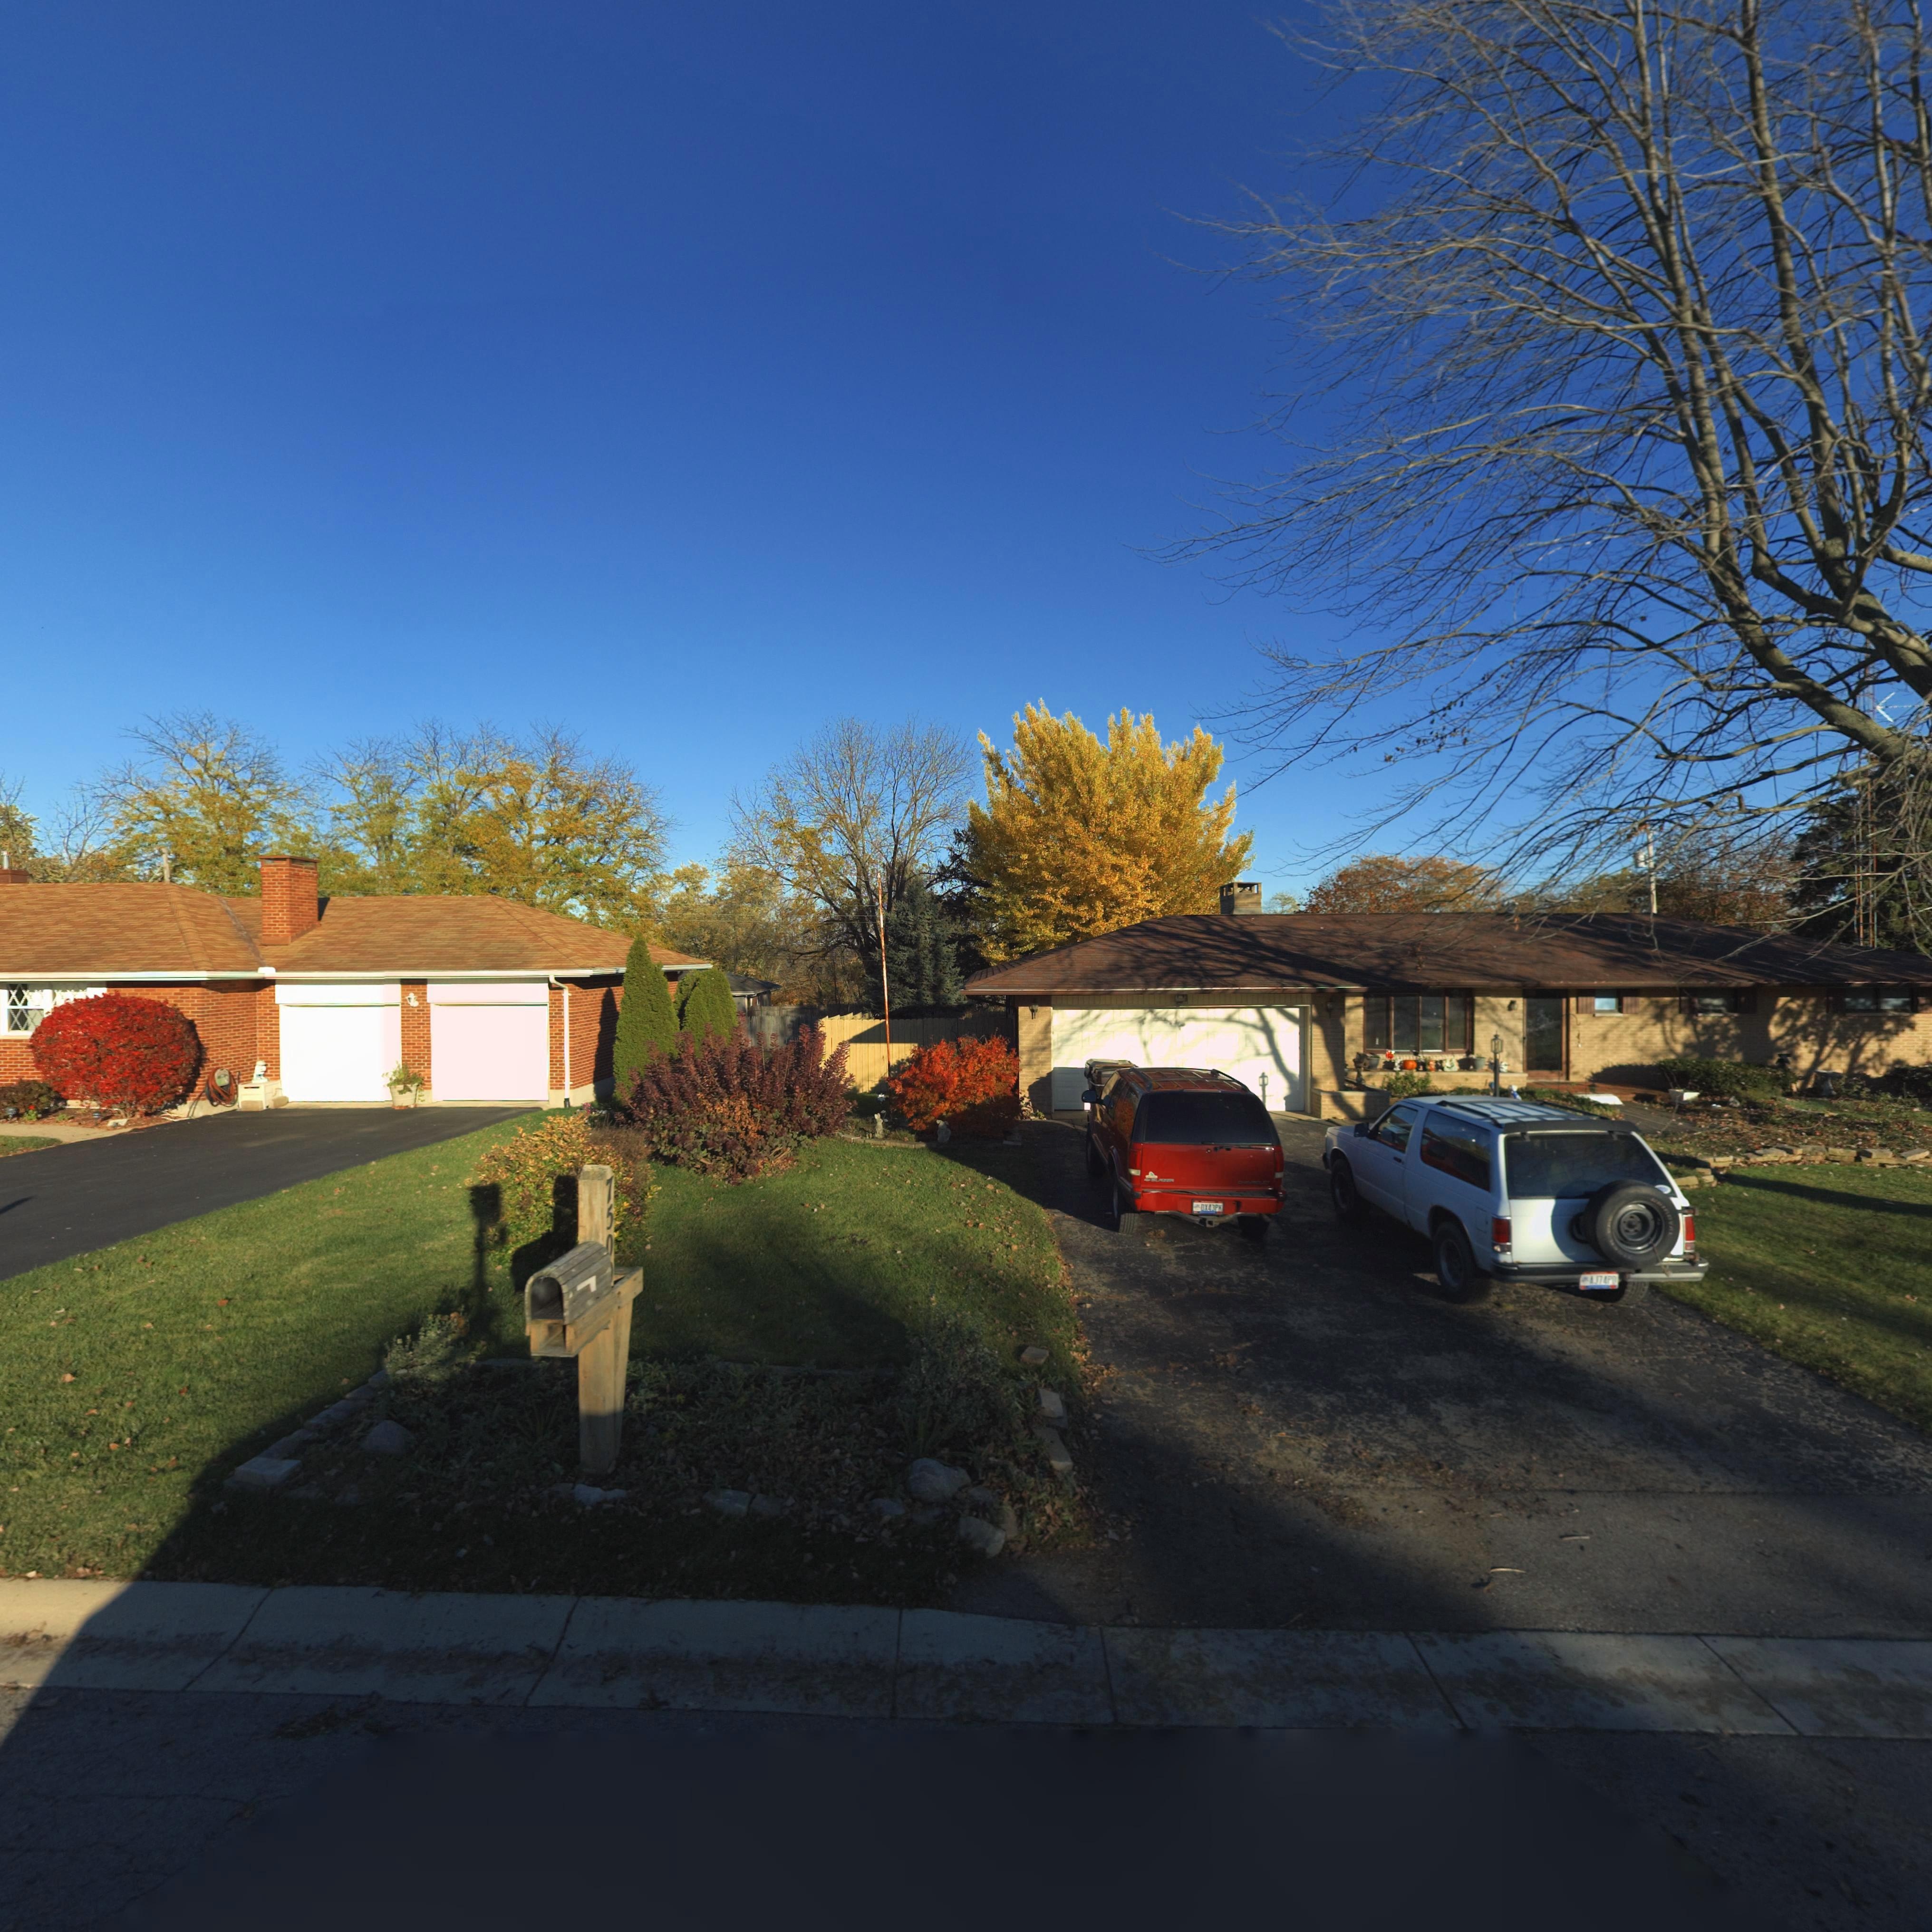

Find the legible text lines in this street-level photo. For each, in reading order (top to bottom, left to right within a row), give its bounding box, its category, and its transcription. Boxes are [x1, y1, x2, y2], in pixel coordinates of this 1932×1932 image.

[604, 1173, 616, 1257] StreetNumber: 75*